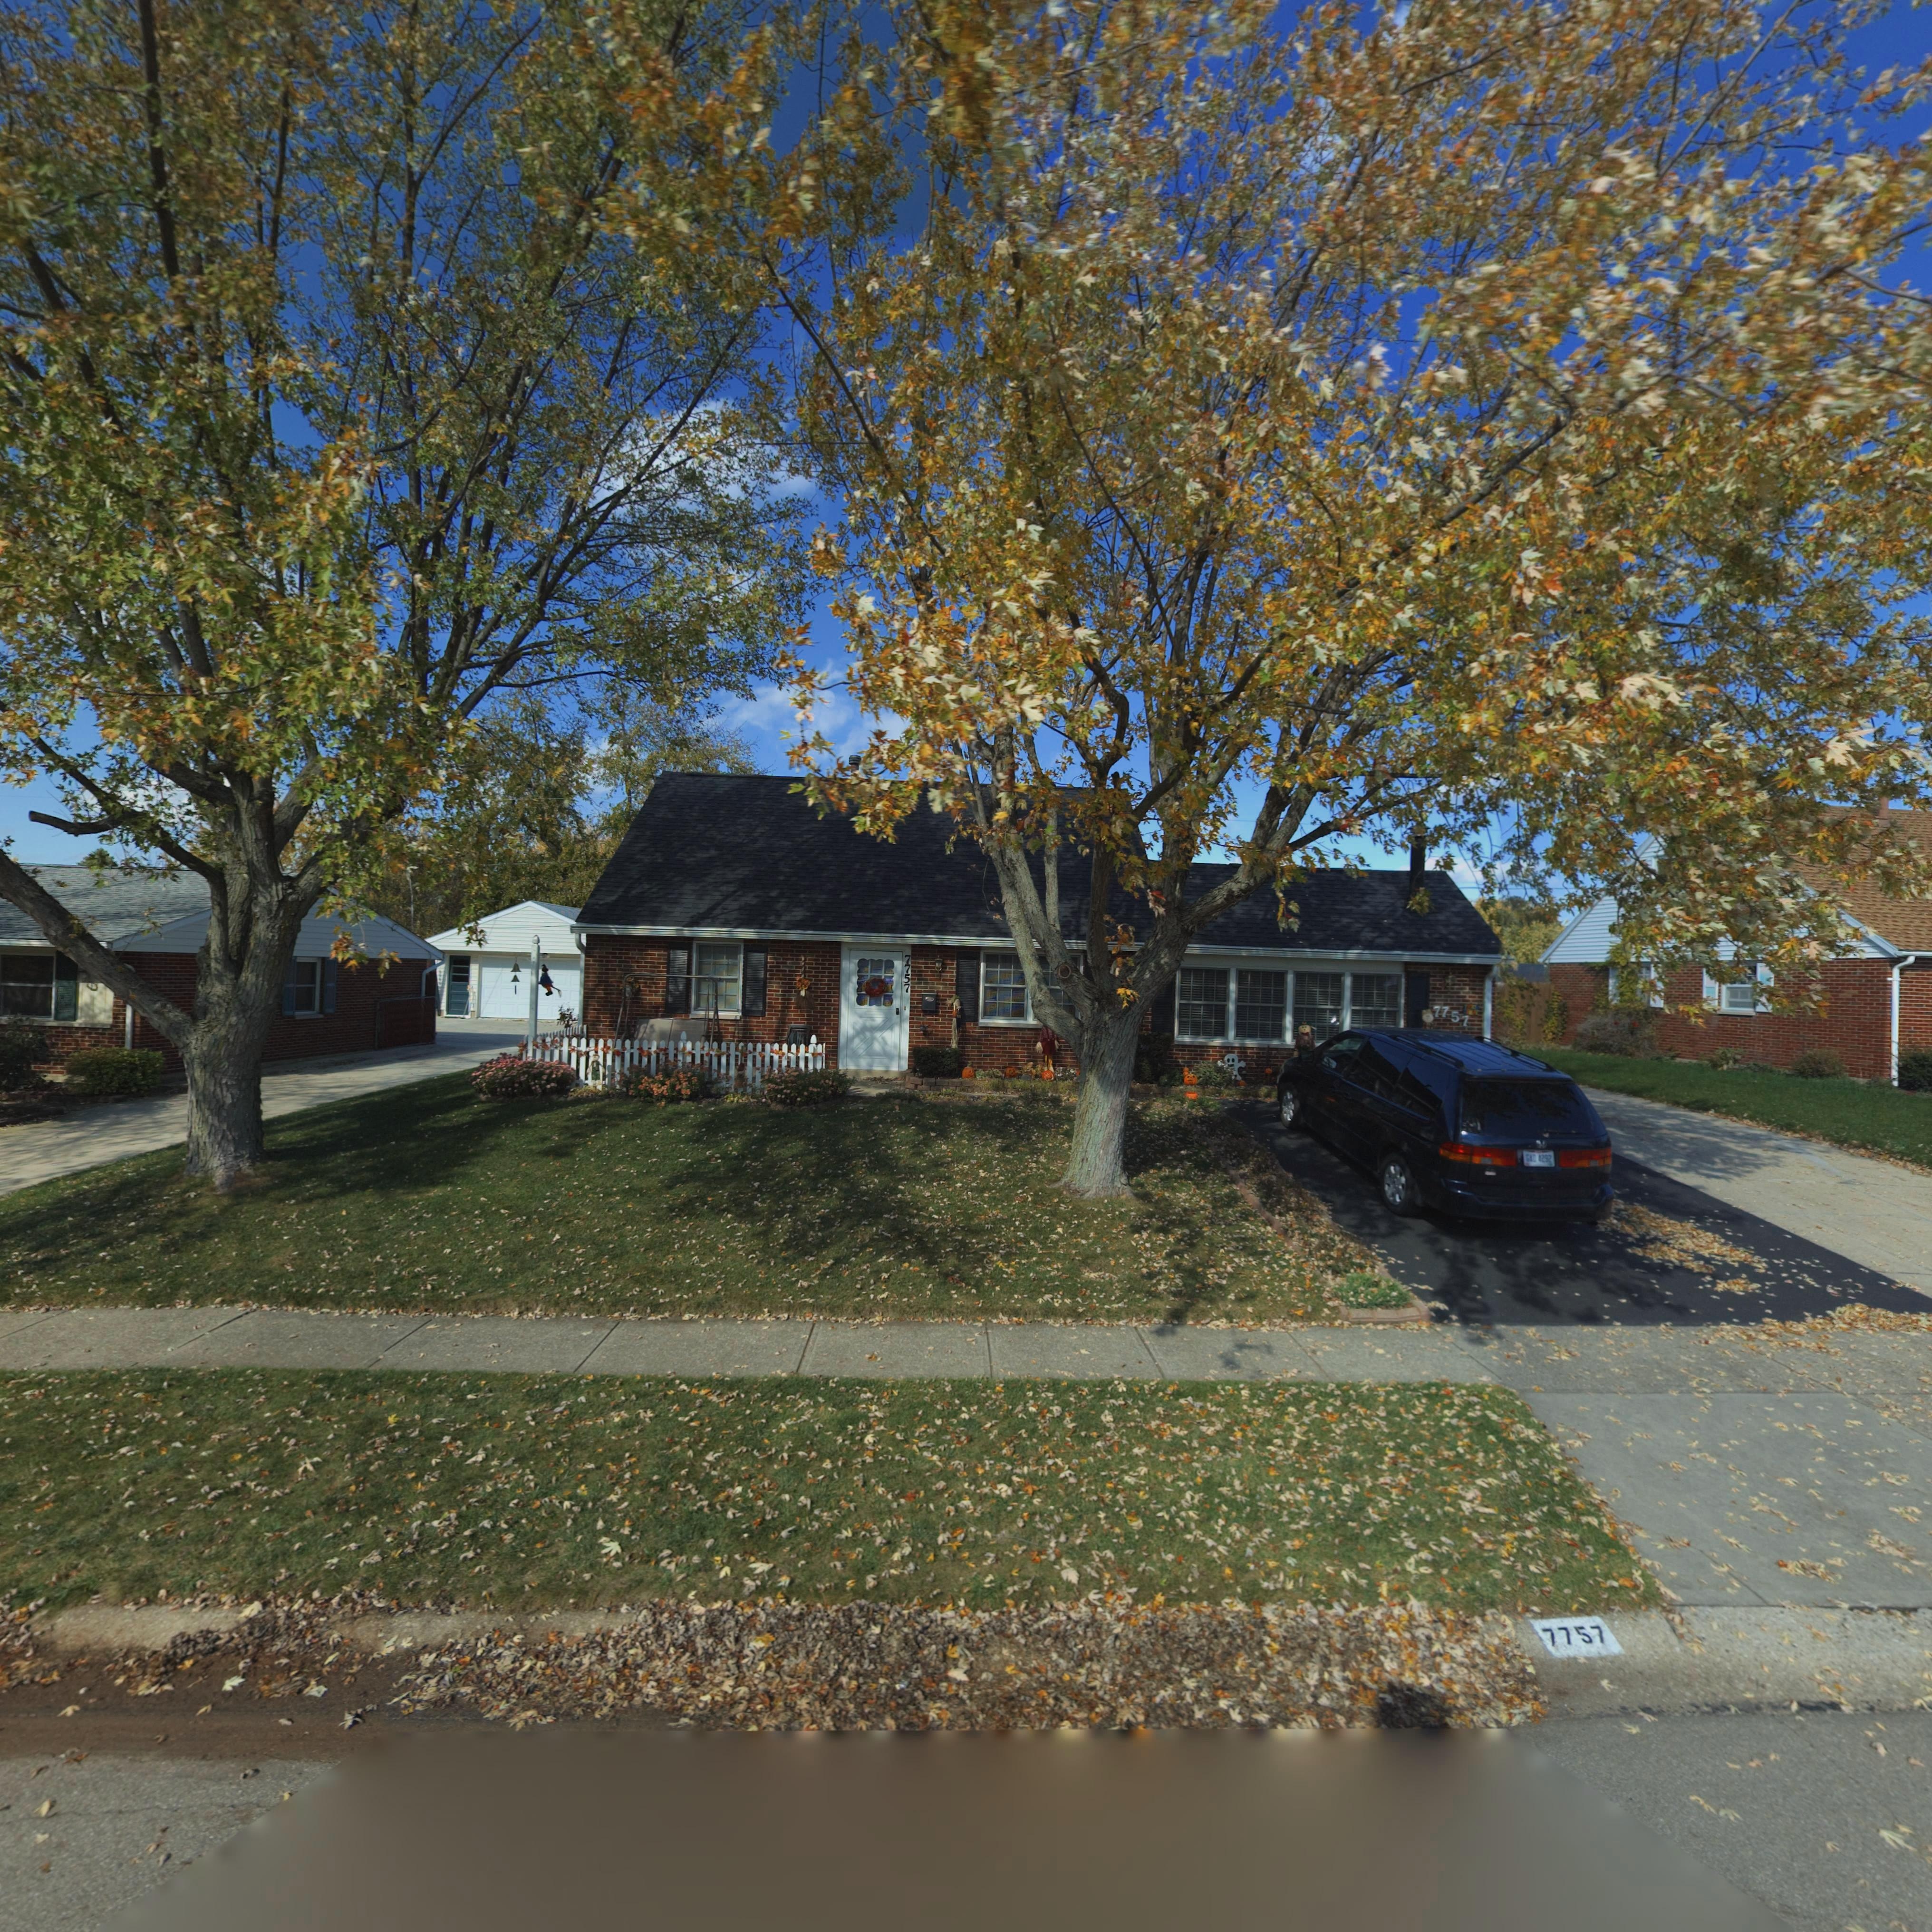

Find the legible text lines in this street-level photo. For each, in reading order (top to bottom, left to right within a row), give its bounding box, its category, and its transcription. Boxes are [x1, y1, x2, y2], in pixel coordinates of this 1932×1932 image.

[903, 954, 911, 994] StreetNumber: 7757
[1432, 1005, 1470, 1027] StreetNumber: 7757
[1541, 1625, 1605, 1647] StreetNumber: 7757